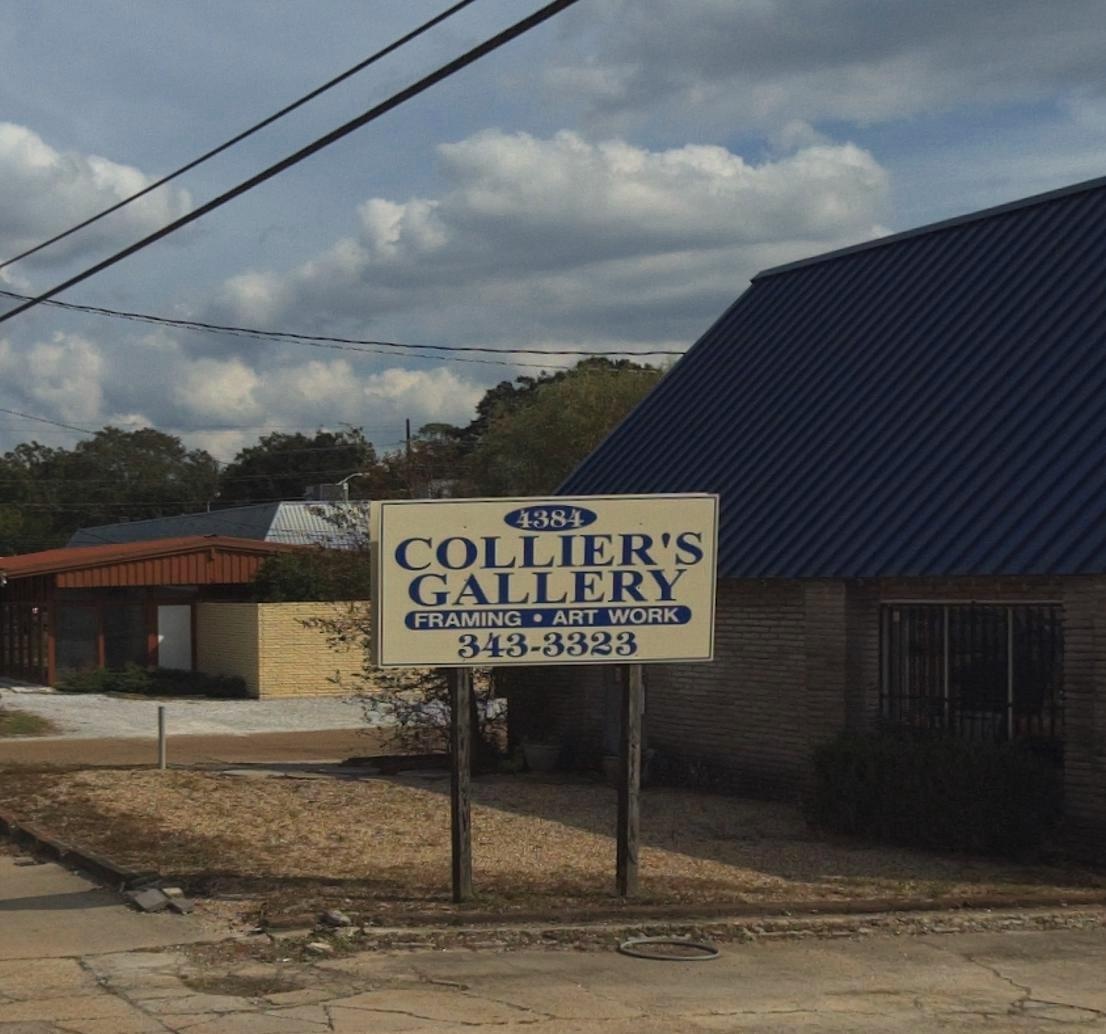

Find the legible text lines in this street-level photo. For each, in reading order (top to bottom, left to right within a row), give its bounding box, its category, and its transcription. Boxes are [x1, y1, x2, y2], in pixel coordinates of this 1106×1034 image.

[513, 505, 586, 531] StreetNumber: 4384
[391, 530, 709, 573] BusinessName: COLLIER'S
[398, 566, 690, 609] BusinessName: GALLERY
[409, 604, 683, 632] None: FRAMING * ART WORK
[453, 627, 639, 662] None: 343-3323